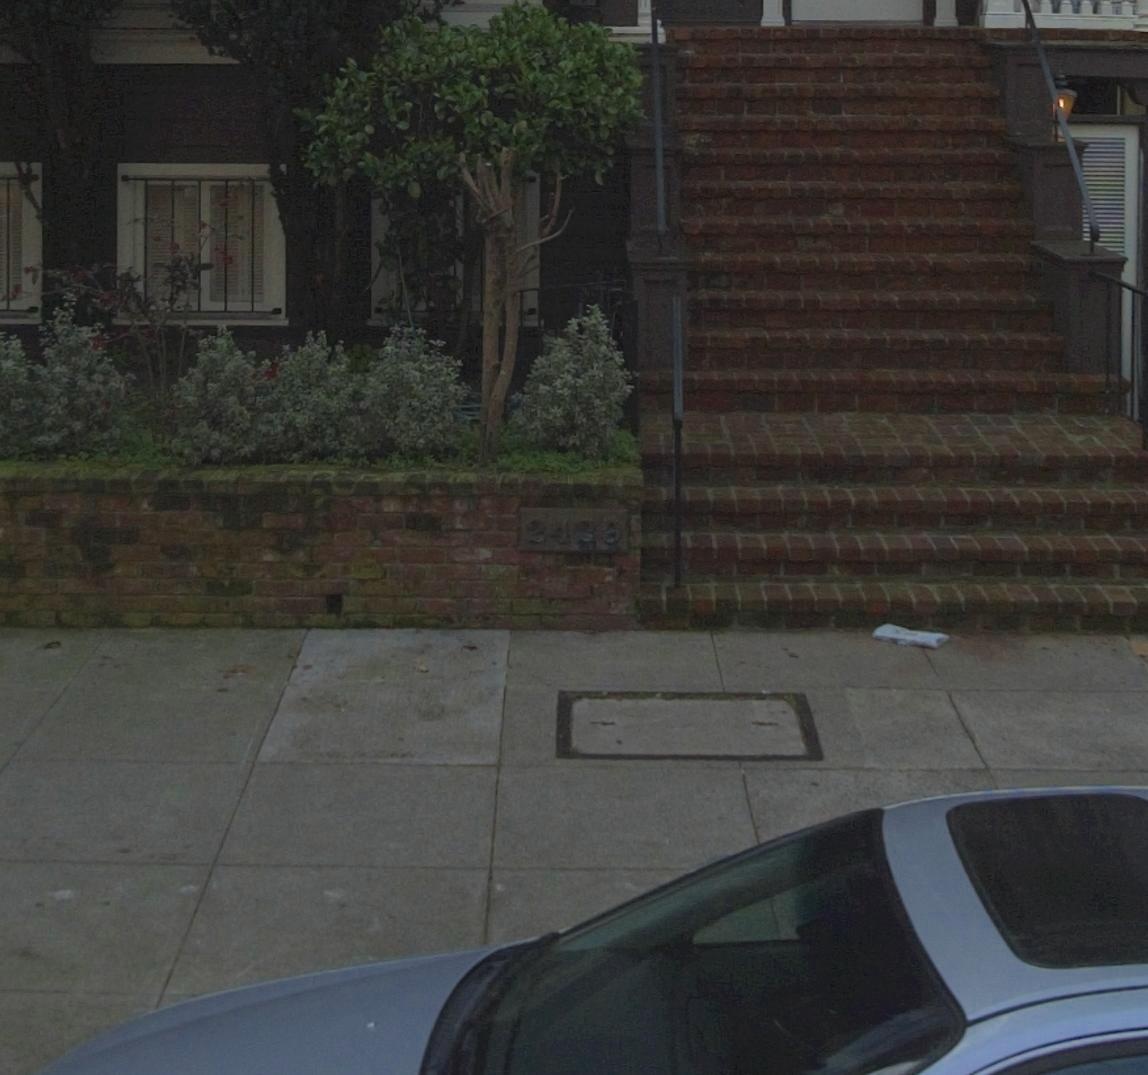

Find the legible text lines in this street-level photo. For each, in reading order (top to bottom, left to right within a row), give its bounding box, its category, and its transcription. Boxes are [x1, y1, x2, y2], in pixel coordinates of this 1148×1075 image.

[527, 515, 625, 546] StreetNumber: 2429